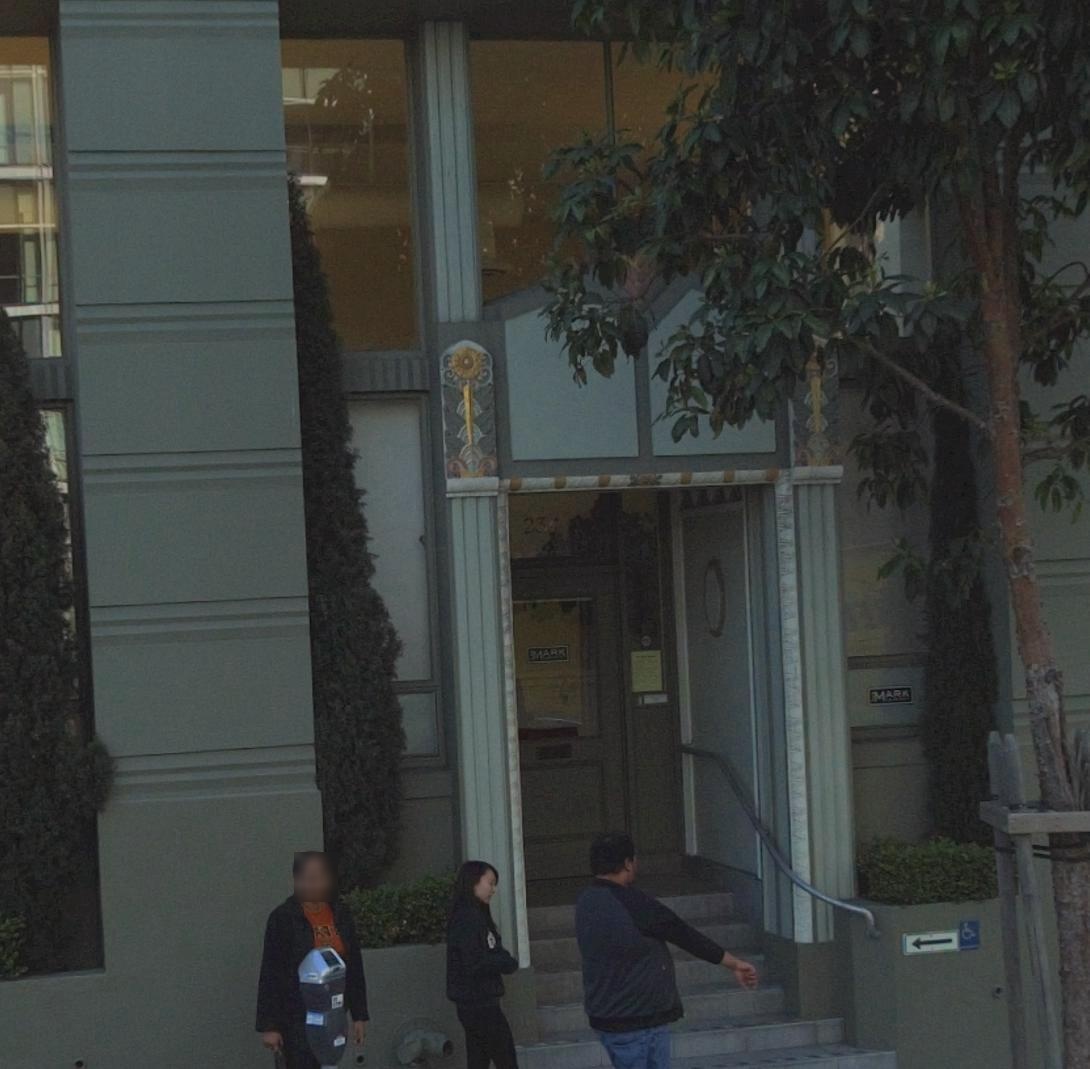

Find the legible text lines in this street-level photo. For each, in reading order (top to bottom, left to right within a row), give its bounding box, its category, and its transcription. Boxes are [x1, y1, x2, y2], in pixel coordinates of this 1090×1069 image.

[523, 515, 563, 537] StreetNumber: 234
[531, 646, 567, 662] BusinessName: MARK
[873, 688, 911, 703] BusinessName: MARK